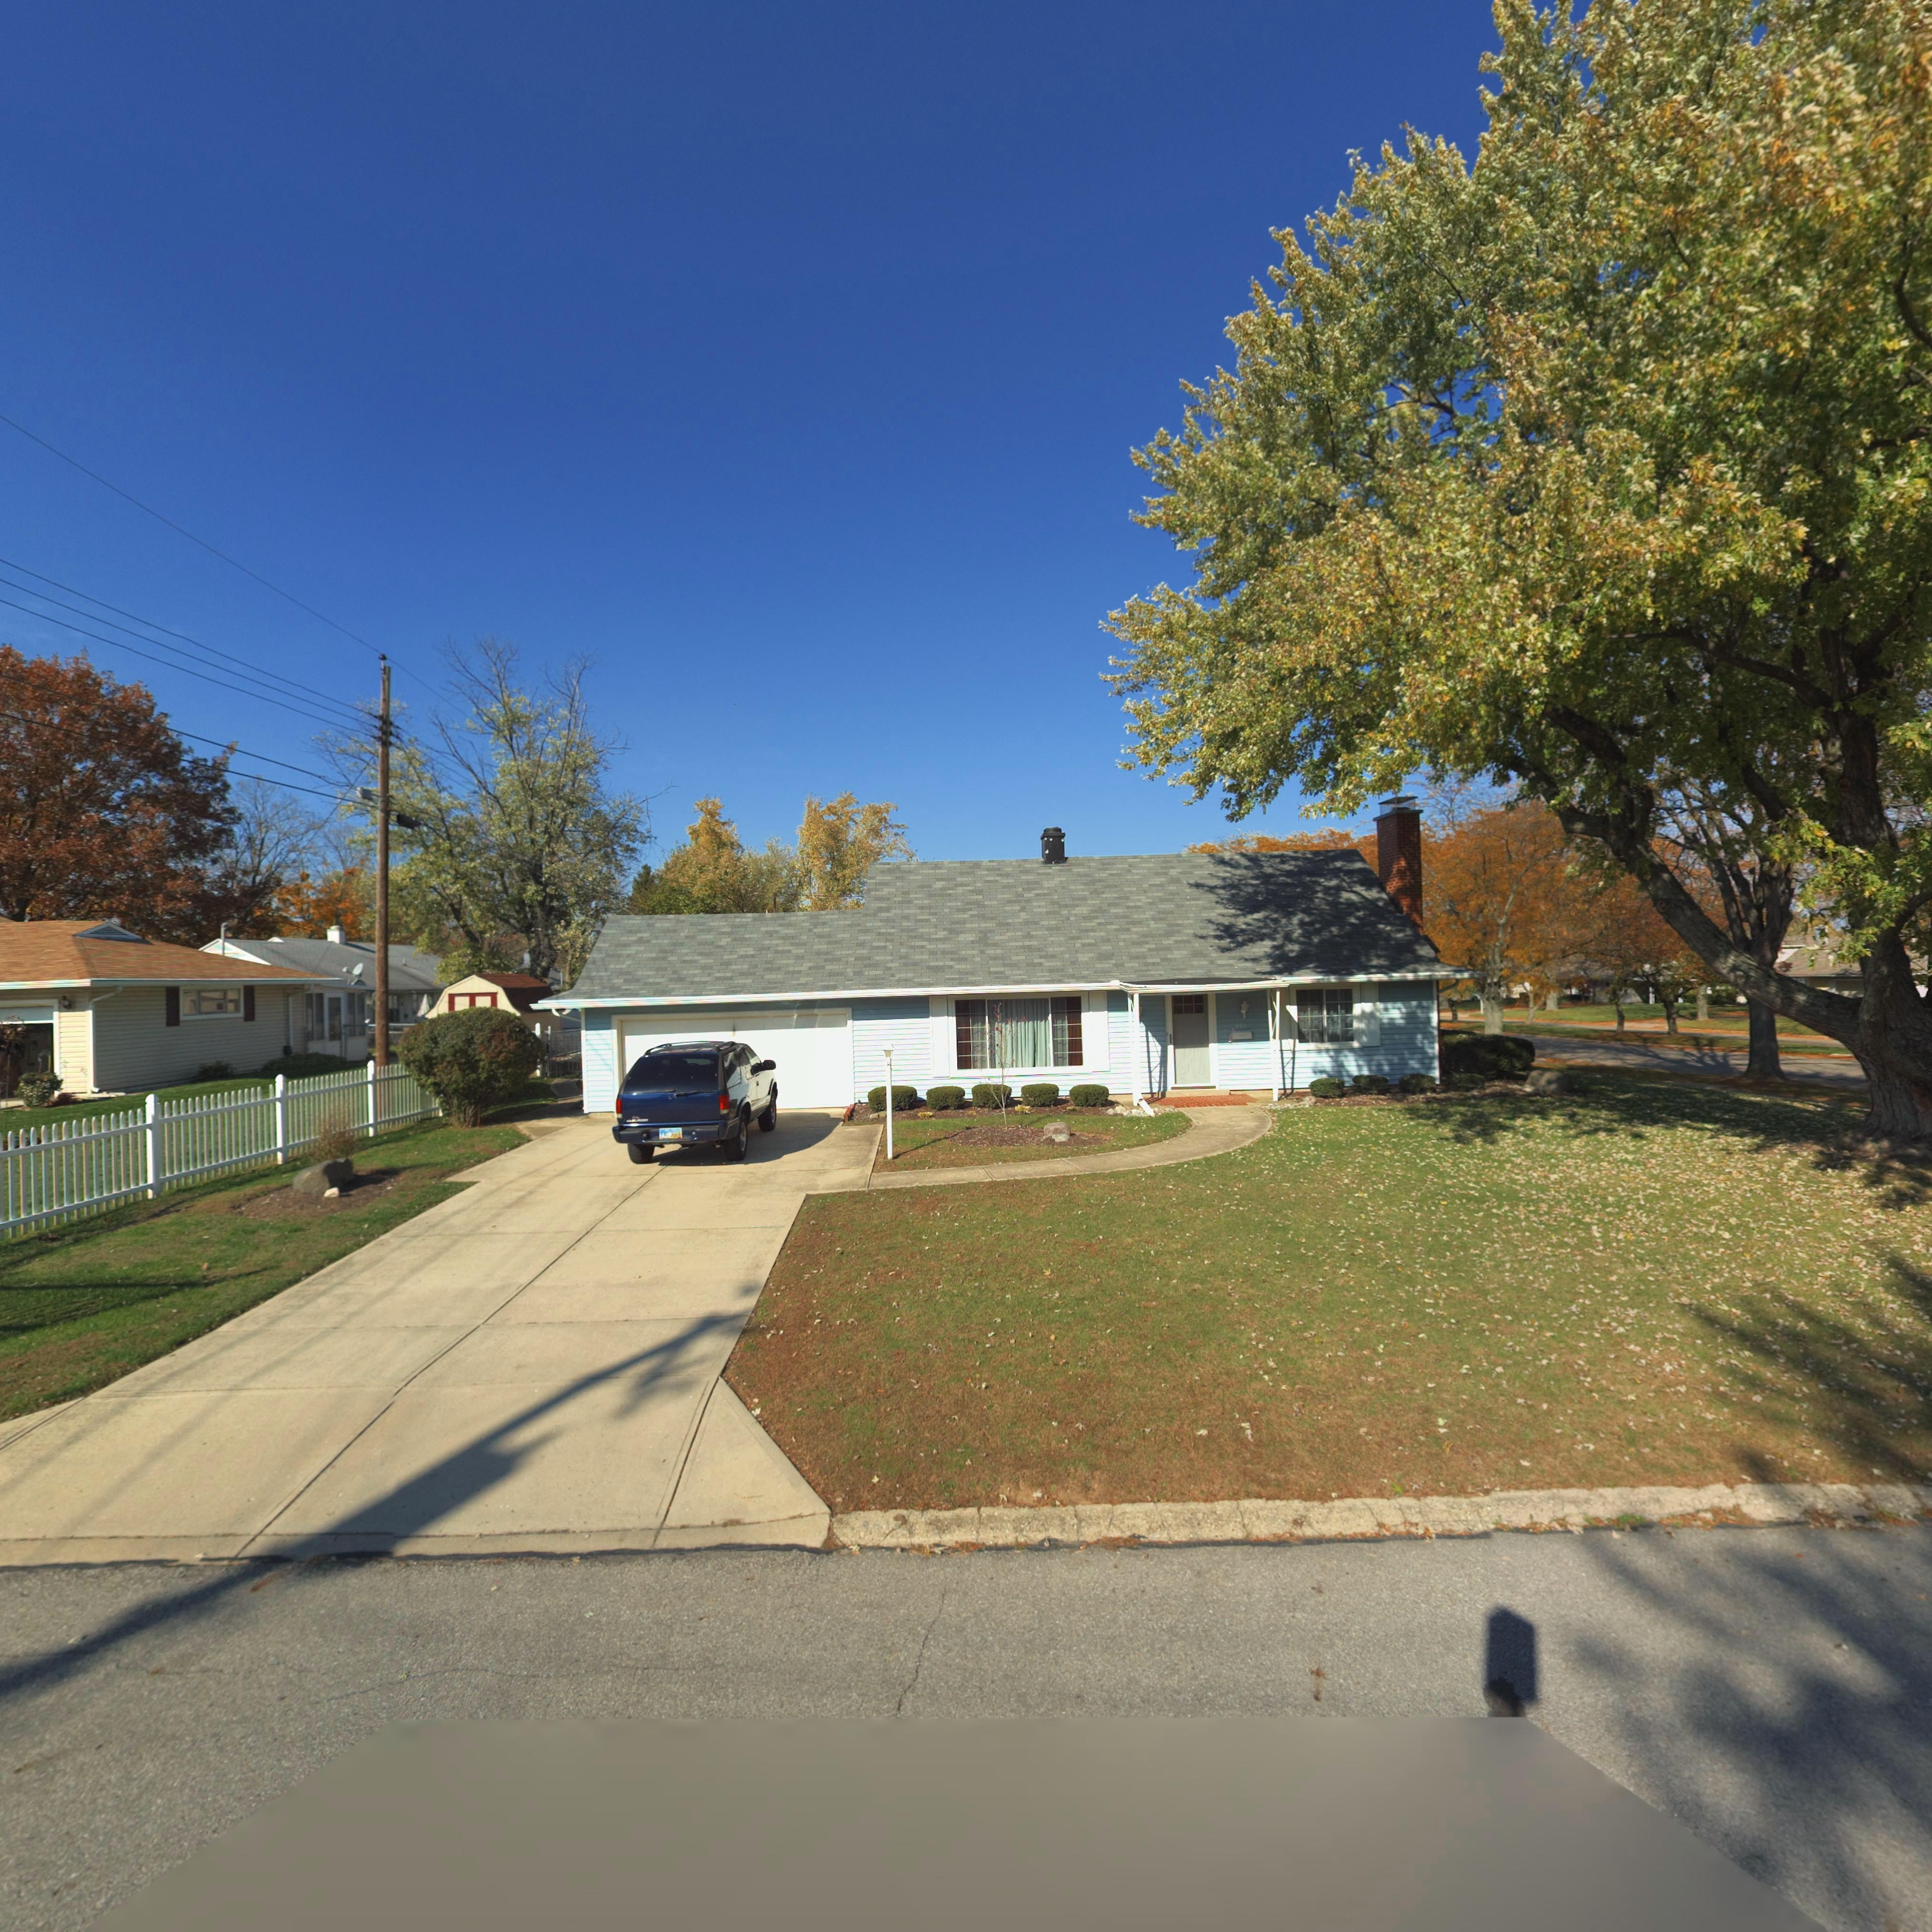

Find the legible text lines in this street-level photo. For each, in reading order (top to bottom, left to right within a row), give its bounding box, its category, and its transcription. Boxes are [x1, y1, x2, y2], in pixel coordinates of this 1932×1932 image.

[1235, 1023, 1246, 1029] StreetNumber: 861
[631, 1119, 648, 1122] None: BLAZ**
[660, 1130, 681, 1138] None: F***3669